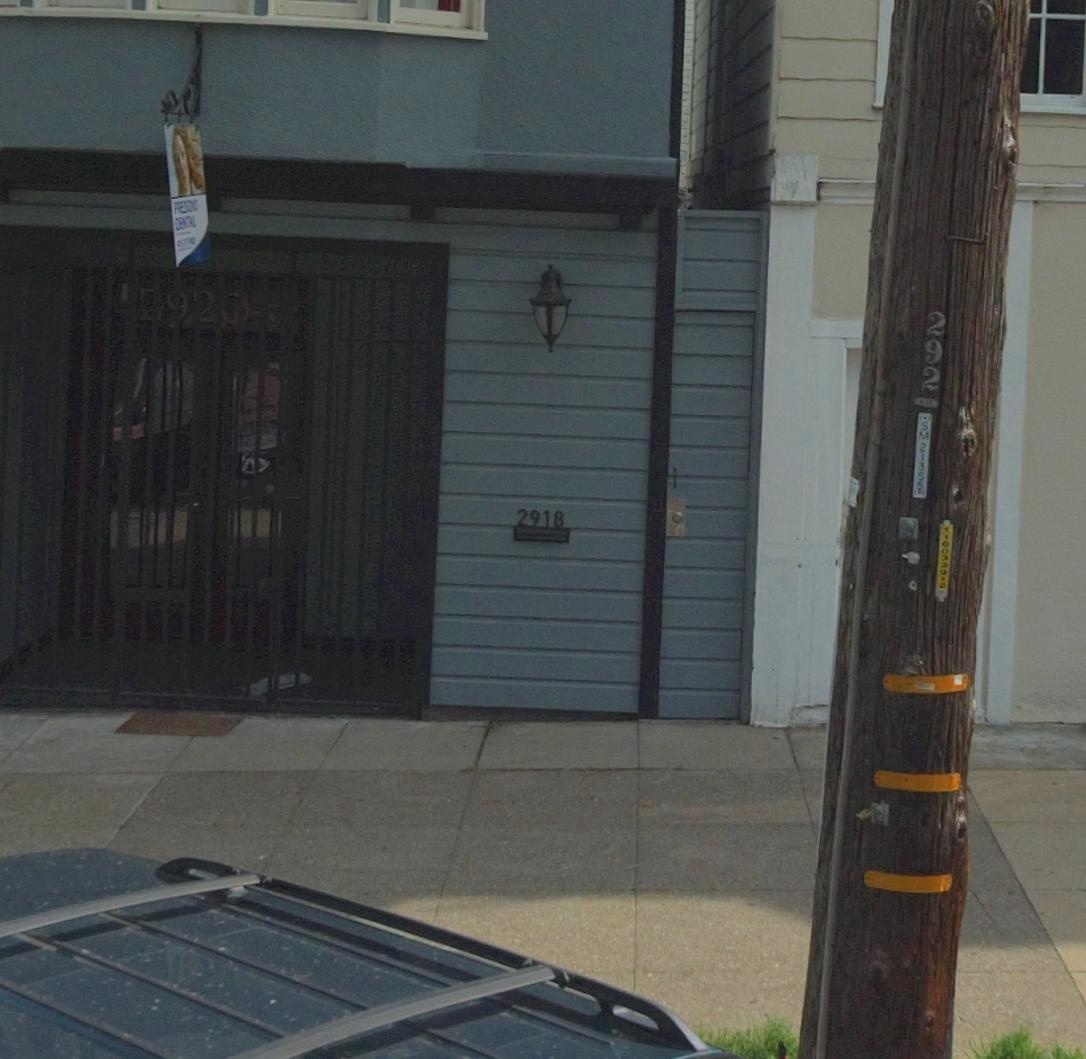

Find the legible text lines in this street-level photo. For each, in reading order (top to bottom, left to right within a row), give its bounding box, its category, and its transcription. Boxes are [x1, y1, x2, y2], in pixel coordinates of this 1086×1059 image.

[915, 308, 950, 396] None: 292
[912, 418, 932, 493] None: SM213**
[515, 506, 566, 531] StreetNumber: 2918
[937, 524, 952, 570] None: 110033